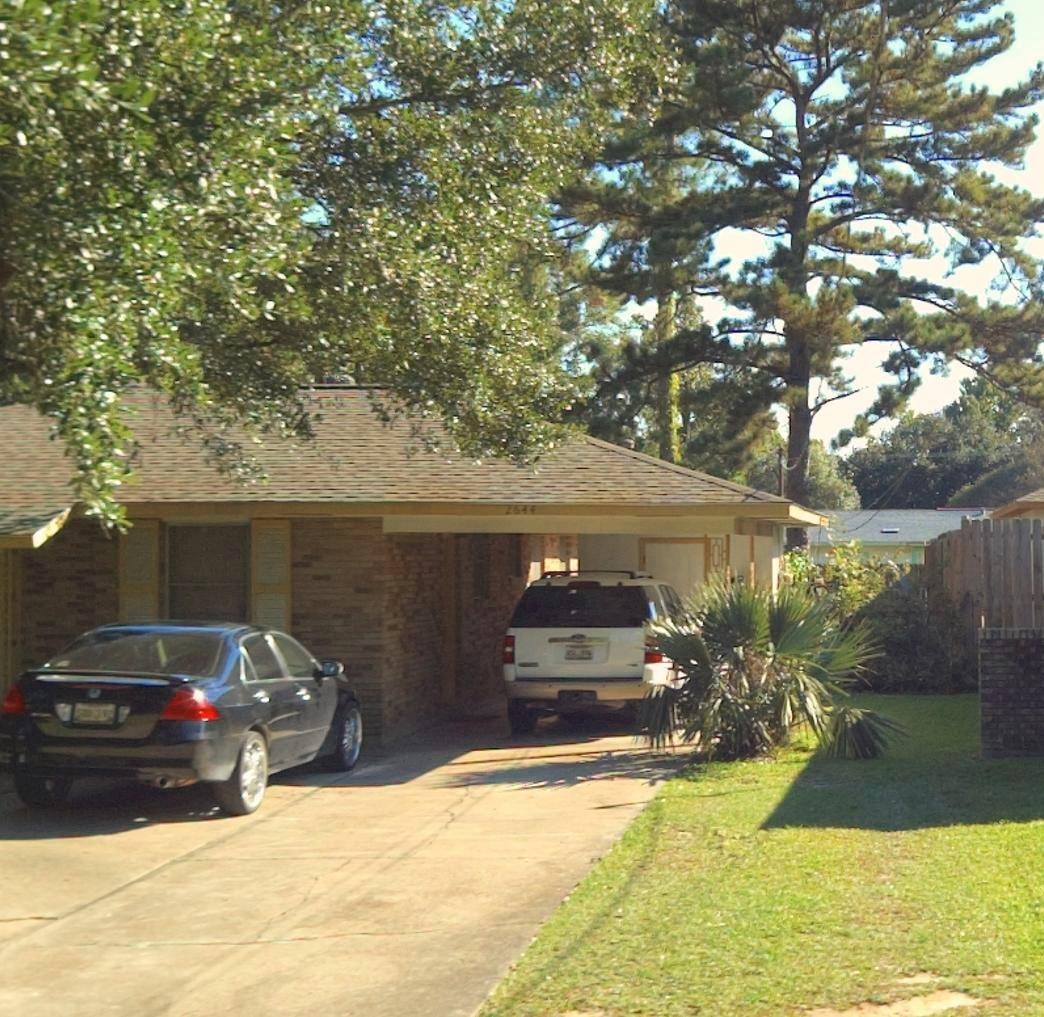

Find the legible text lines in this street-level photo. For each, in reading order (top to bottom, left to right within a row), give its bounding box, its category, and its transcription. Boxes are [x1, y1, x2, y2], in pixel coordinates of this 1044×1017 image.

[505, 503, 538, 516] StreetNumber: 2644